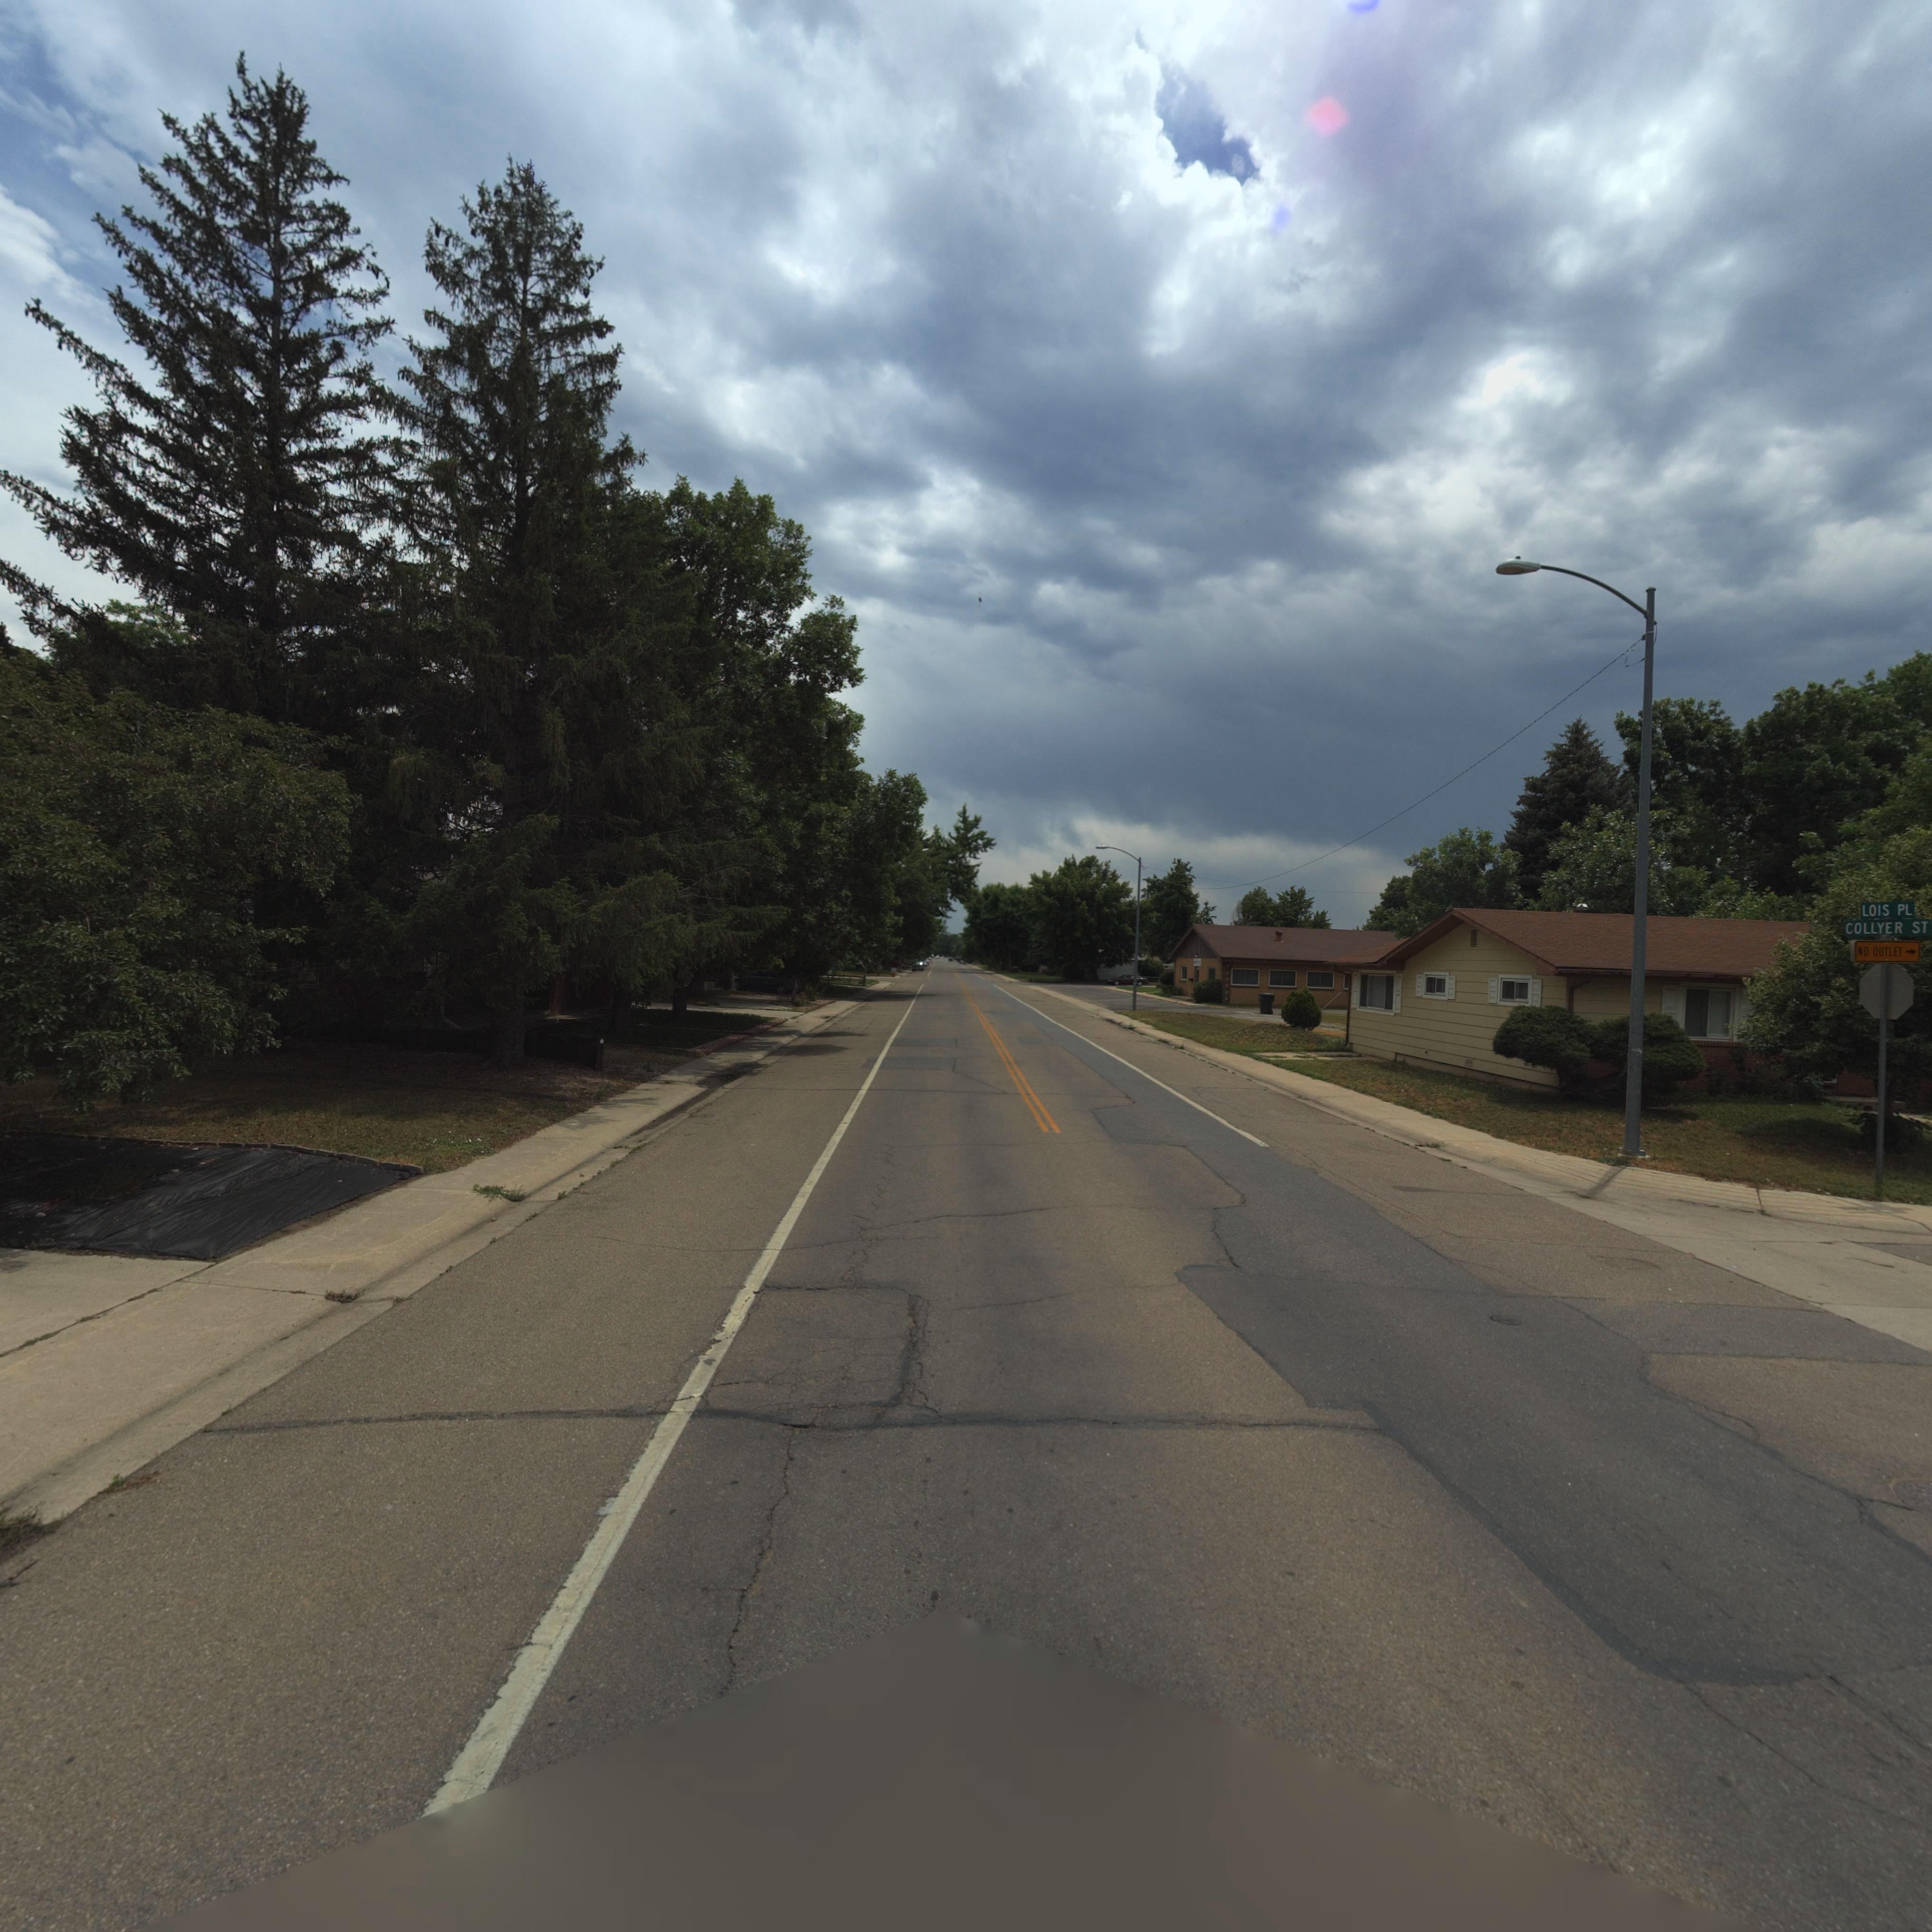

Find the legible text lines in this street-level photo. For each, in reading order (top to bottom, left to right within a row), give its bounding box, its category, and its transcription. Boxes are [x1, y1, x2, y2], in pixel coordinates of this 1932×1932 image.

[1862, 903, 1913, 917] StreetName: LOIS PL
[1845, 920, 1929, 935] StreetName: COLLYER ST